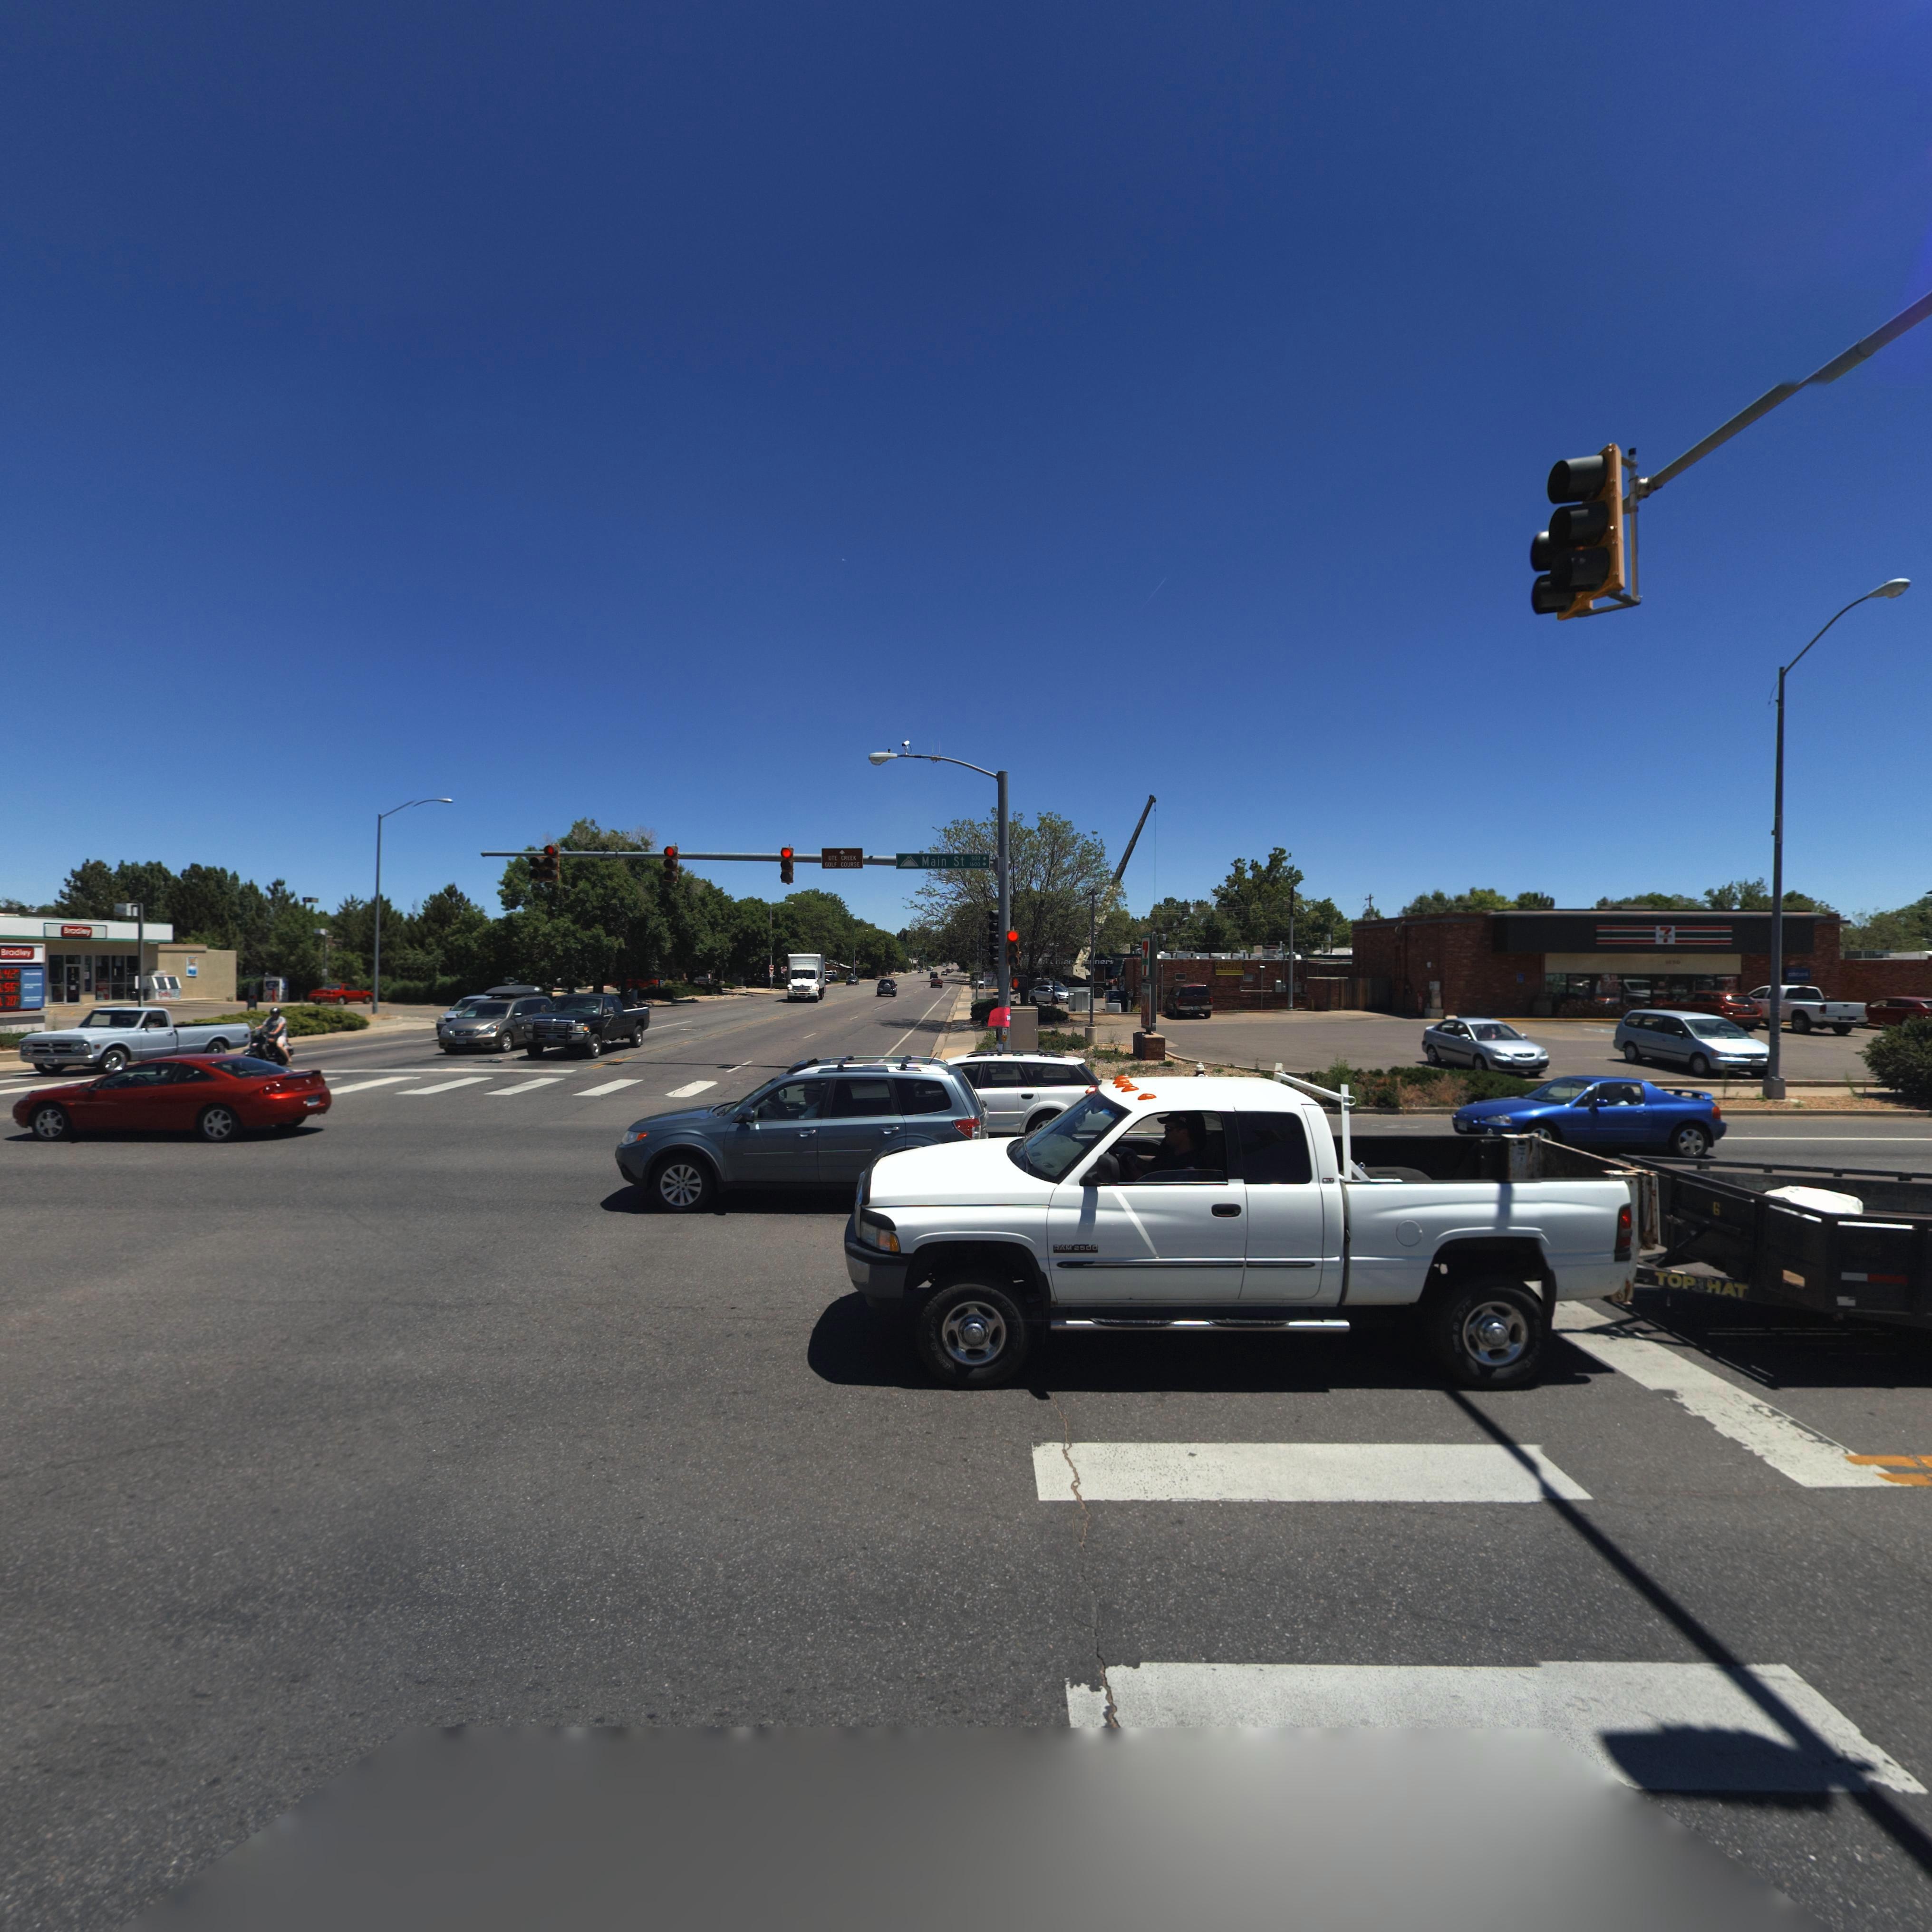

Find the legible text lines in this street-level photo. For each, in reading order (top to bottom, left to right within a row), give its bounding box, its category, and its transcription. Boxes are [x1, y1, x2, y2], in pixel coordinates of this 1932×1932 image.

[921, 855, 964, 866] StreetName: Main St
[971, 856, 980, 860] StreetNumberRange: 500
[970, 861, 986, 866] StreetNumberRange: 1600 ->
[1659, 926, 1671, 943] BusinessName: 7
[1037, 957, 1114, 965] BusinessName: S**chie****ners
[1142, 940, 1148, 976] BusinessName: 7
[1217, 961, 1243, 966] BusinessName: POLLERIA
[1665, 959, 1681, 965] StreetNumber: 1**0
[1217, 966, 1221, 969] BusinessName: &
[1222, 966, 1243, 970] BusinessName: **GATA